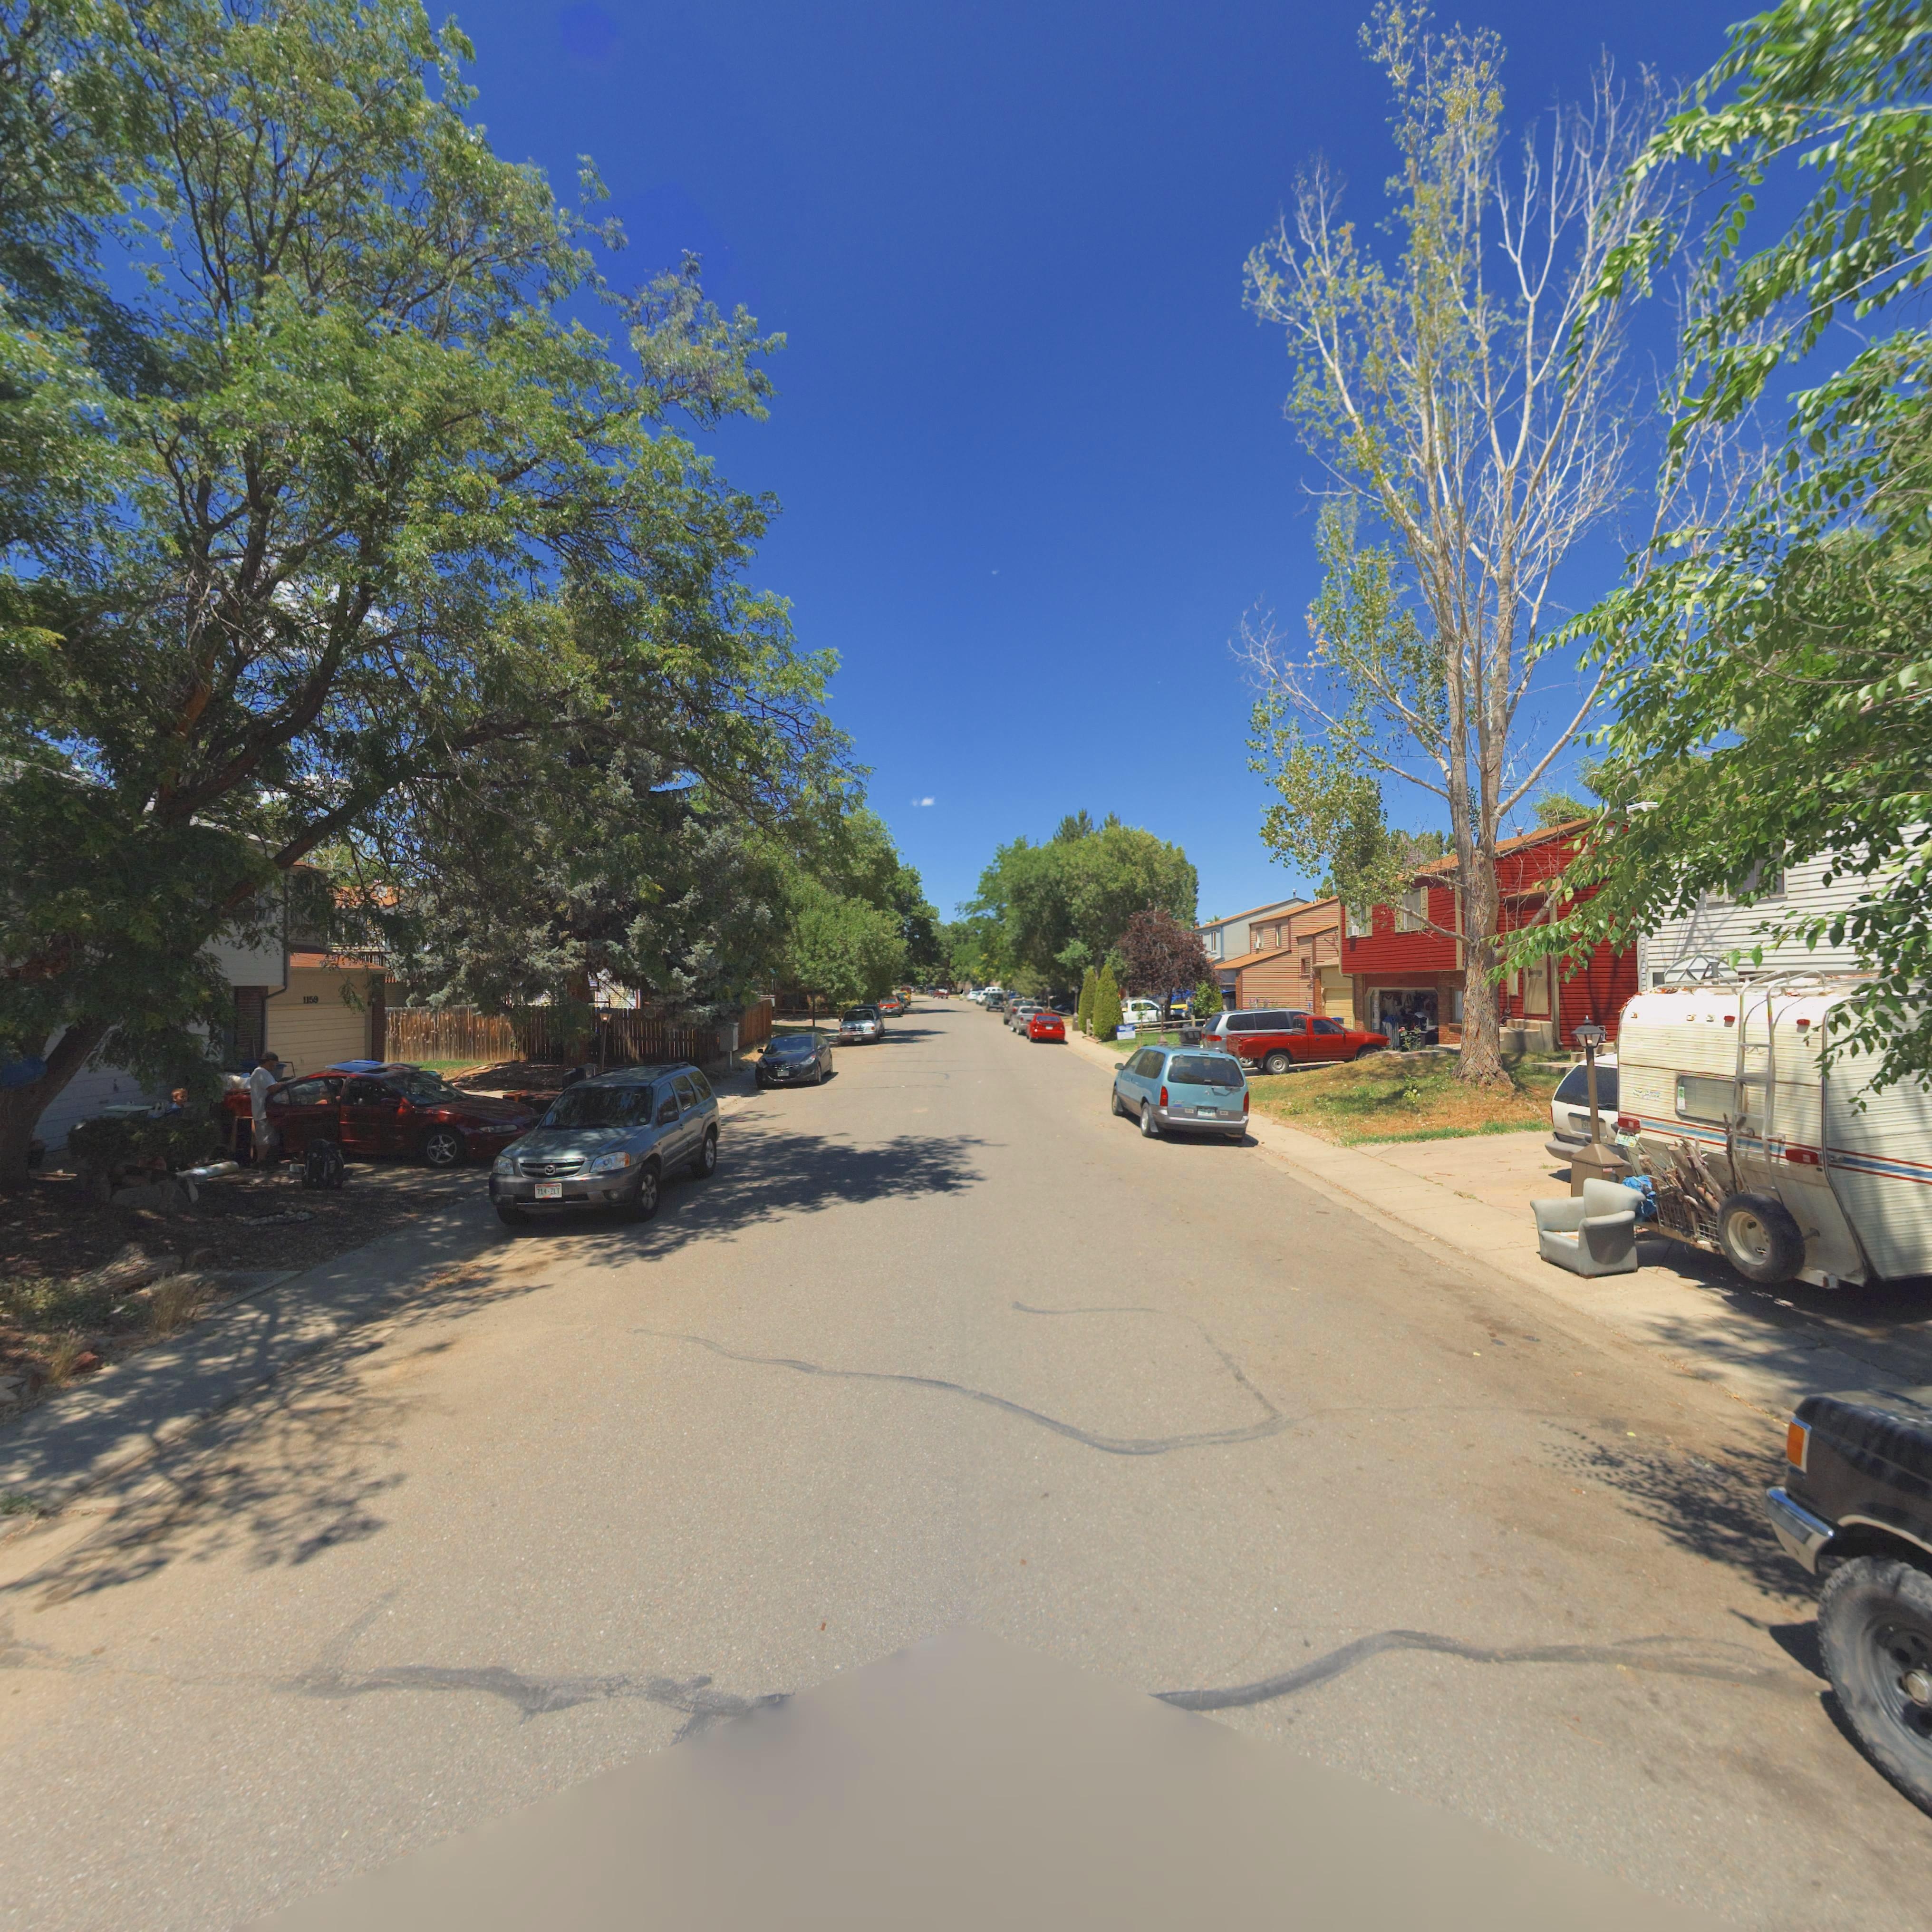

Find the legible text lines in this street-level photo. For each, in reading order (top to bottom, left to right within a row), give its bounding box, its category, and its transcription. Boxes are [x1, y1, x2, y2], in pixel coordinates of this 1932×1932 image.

[302, 995, 319, 1004] StreetNumber: 1159